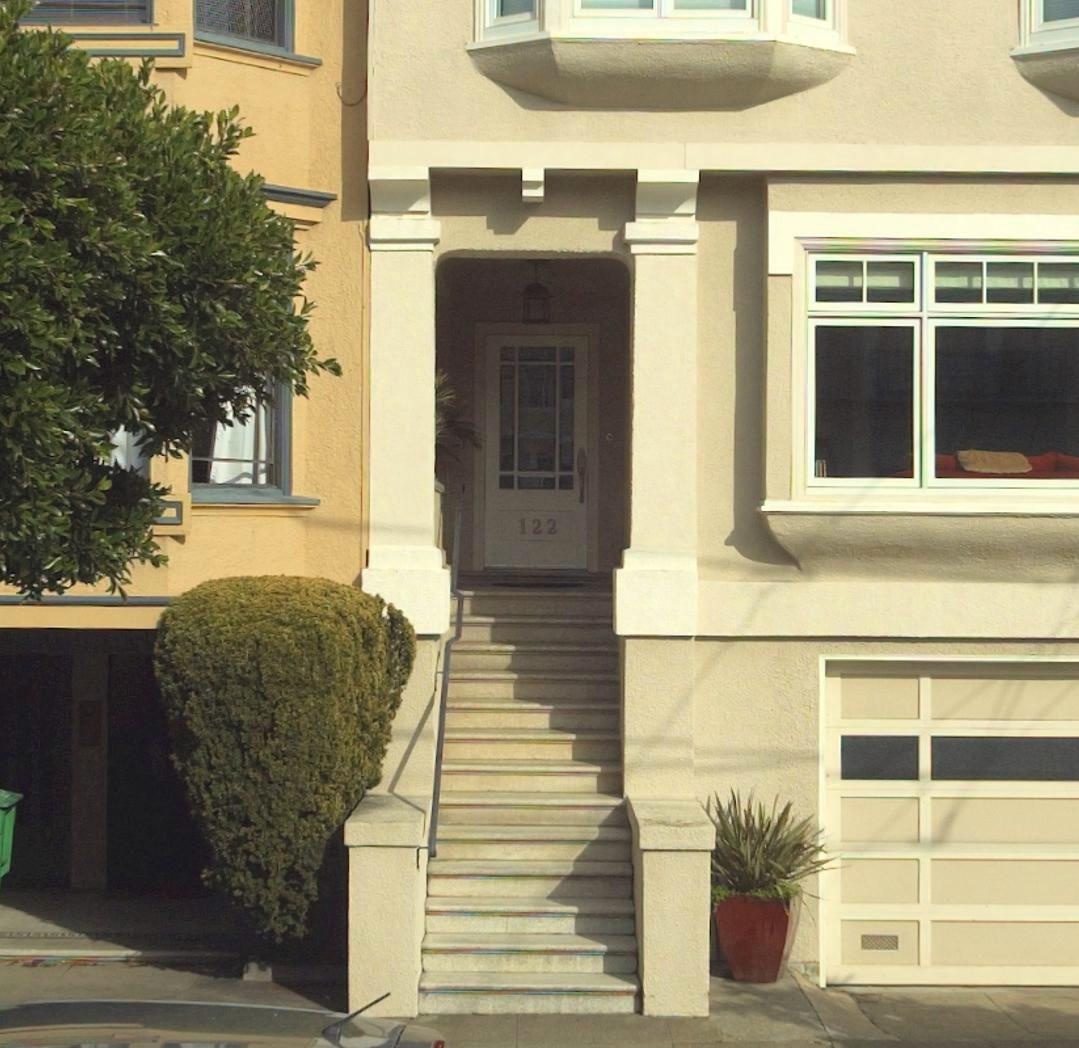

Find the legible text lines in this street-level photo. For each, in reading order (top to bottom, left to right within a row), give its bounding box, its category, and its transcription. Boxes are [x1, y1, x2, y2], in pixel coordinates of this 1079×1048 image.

[517, 517, 558, 536] StreetNumber: 122